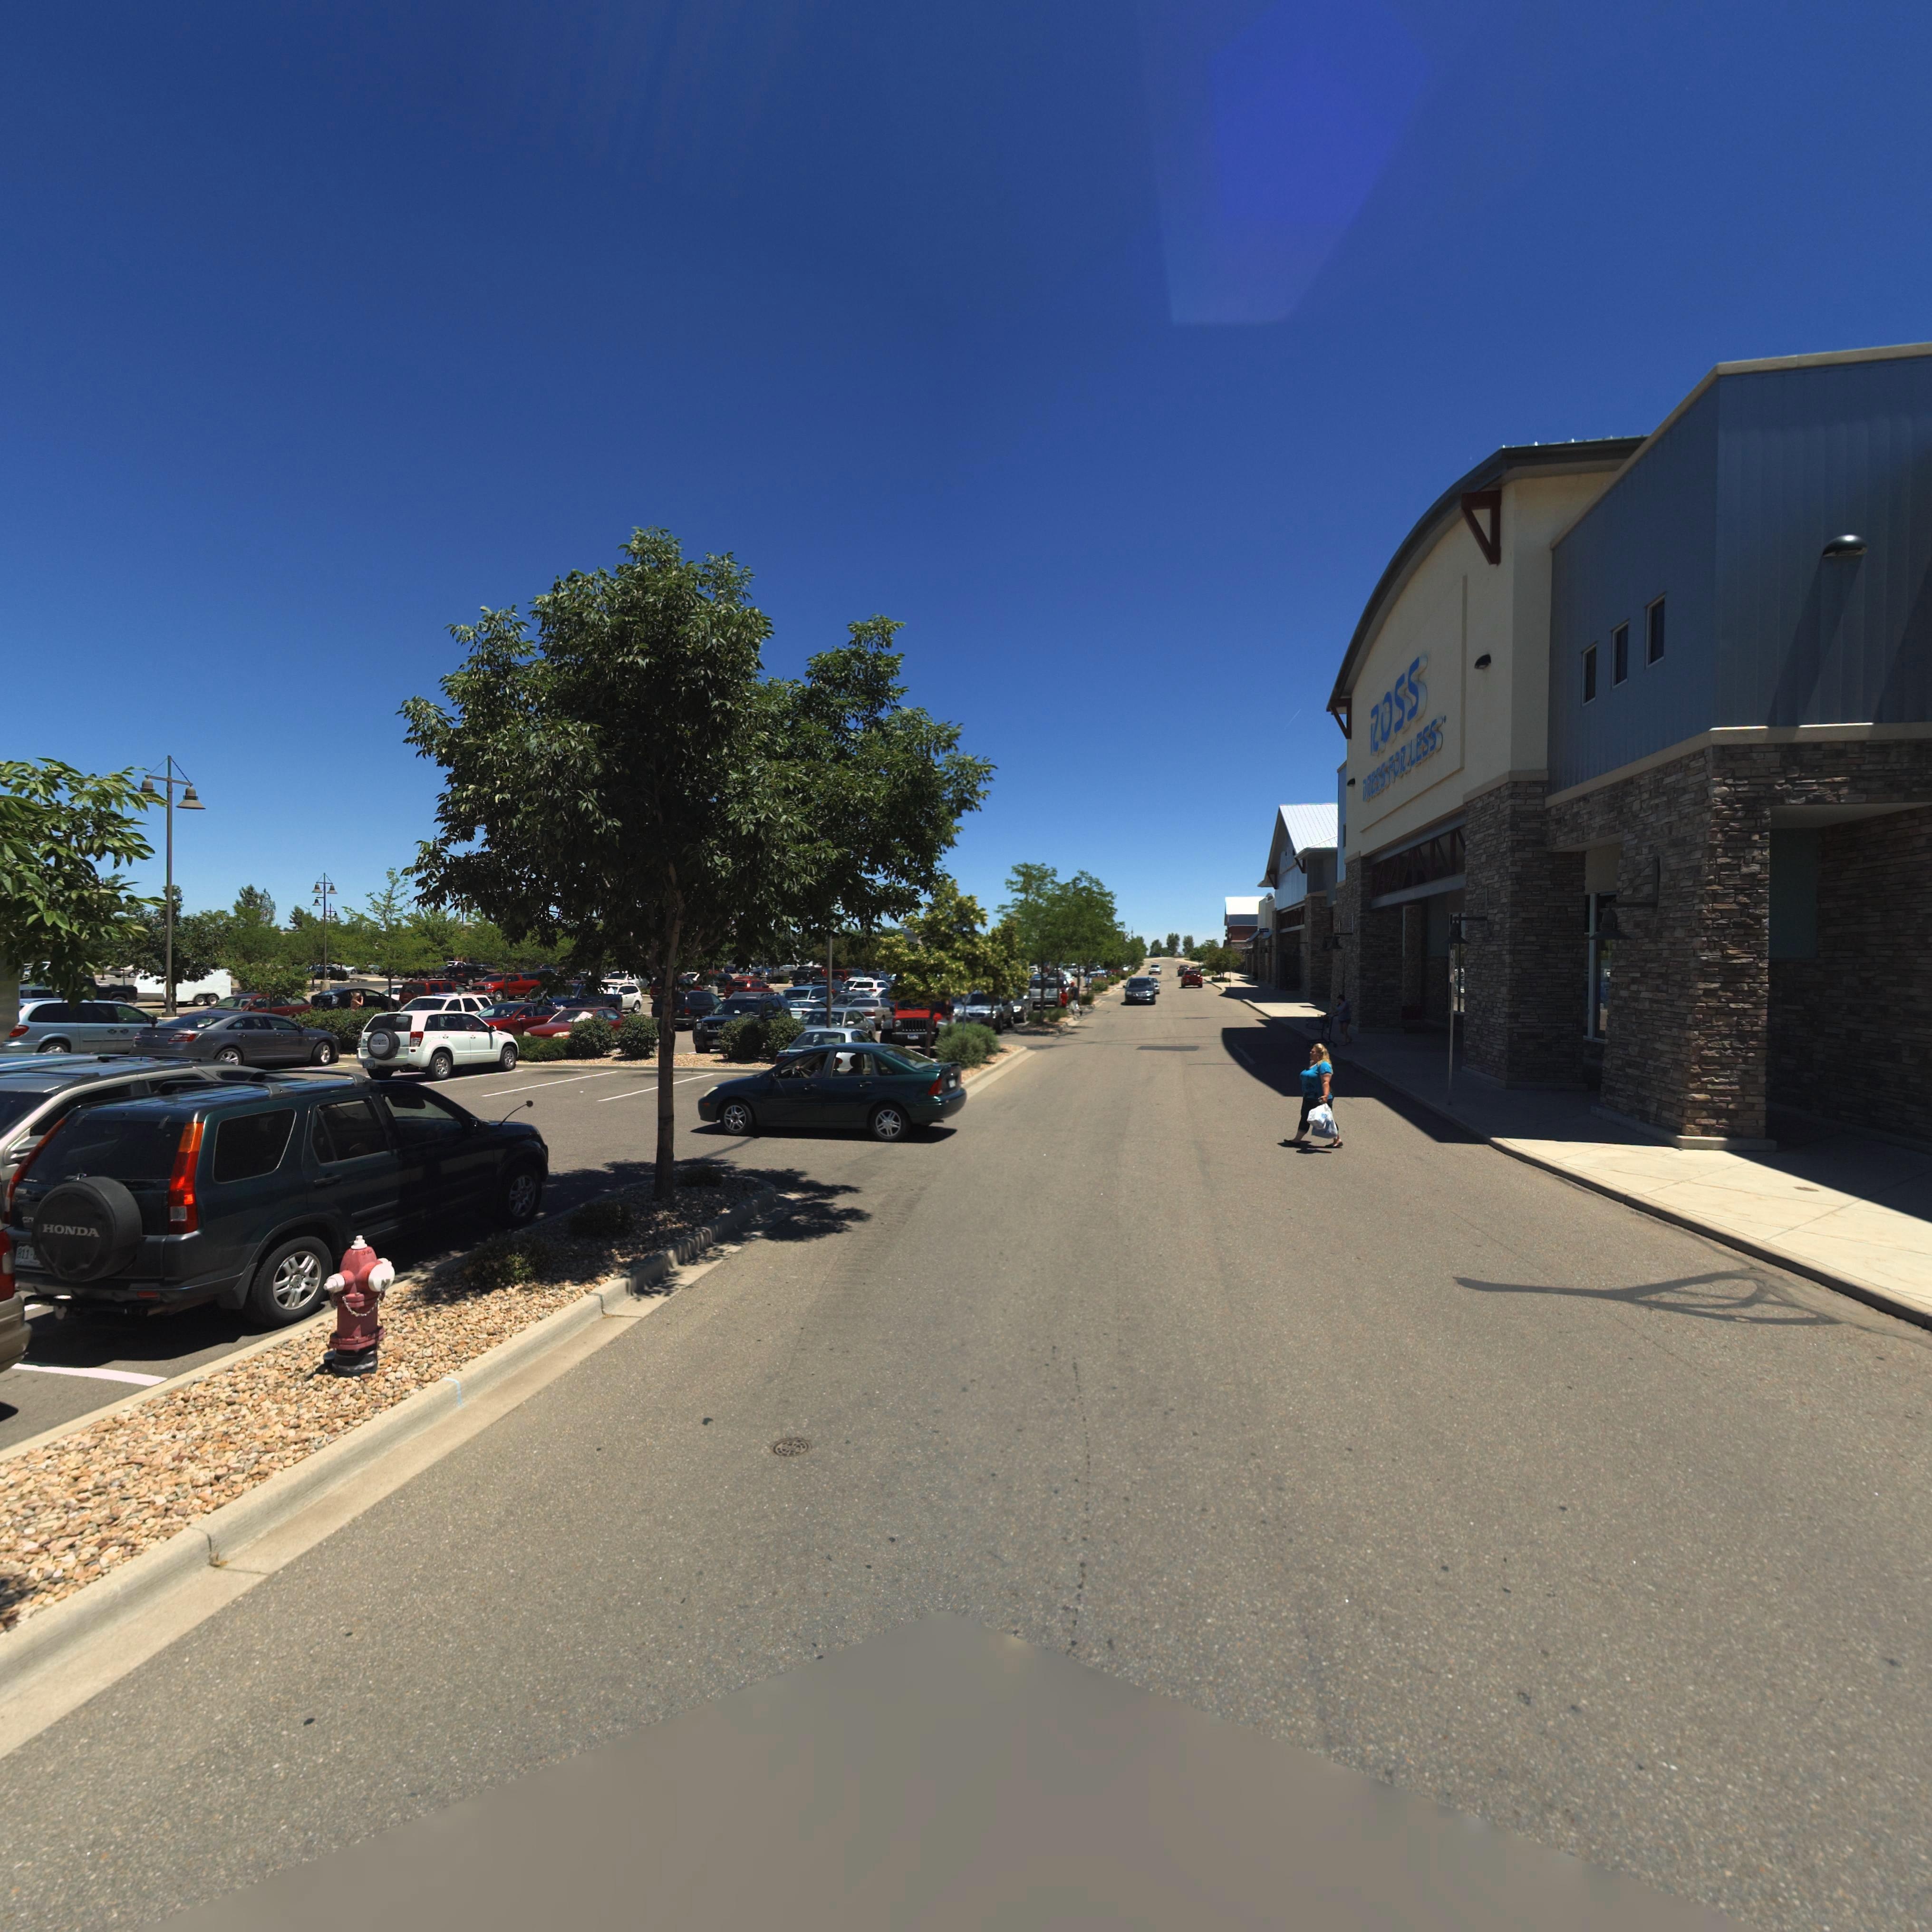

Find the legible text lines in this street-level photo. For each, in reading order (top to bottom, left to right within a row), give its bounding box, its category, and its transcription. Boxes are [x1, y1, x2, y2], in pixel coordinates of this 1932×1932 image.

[1369, 654, 1421, 756] BusinessName: ROSS
[1362, 715, 1439, 803] BusinessName: DRESS FOR LESS